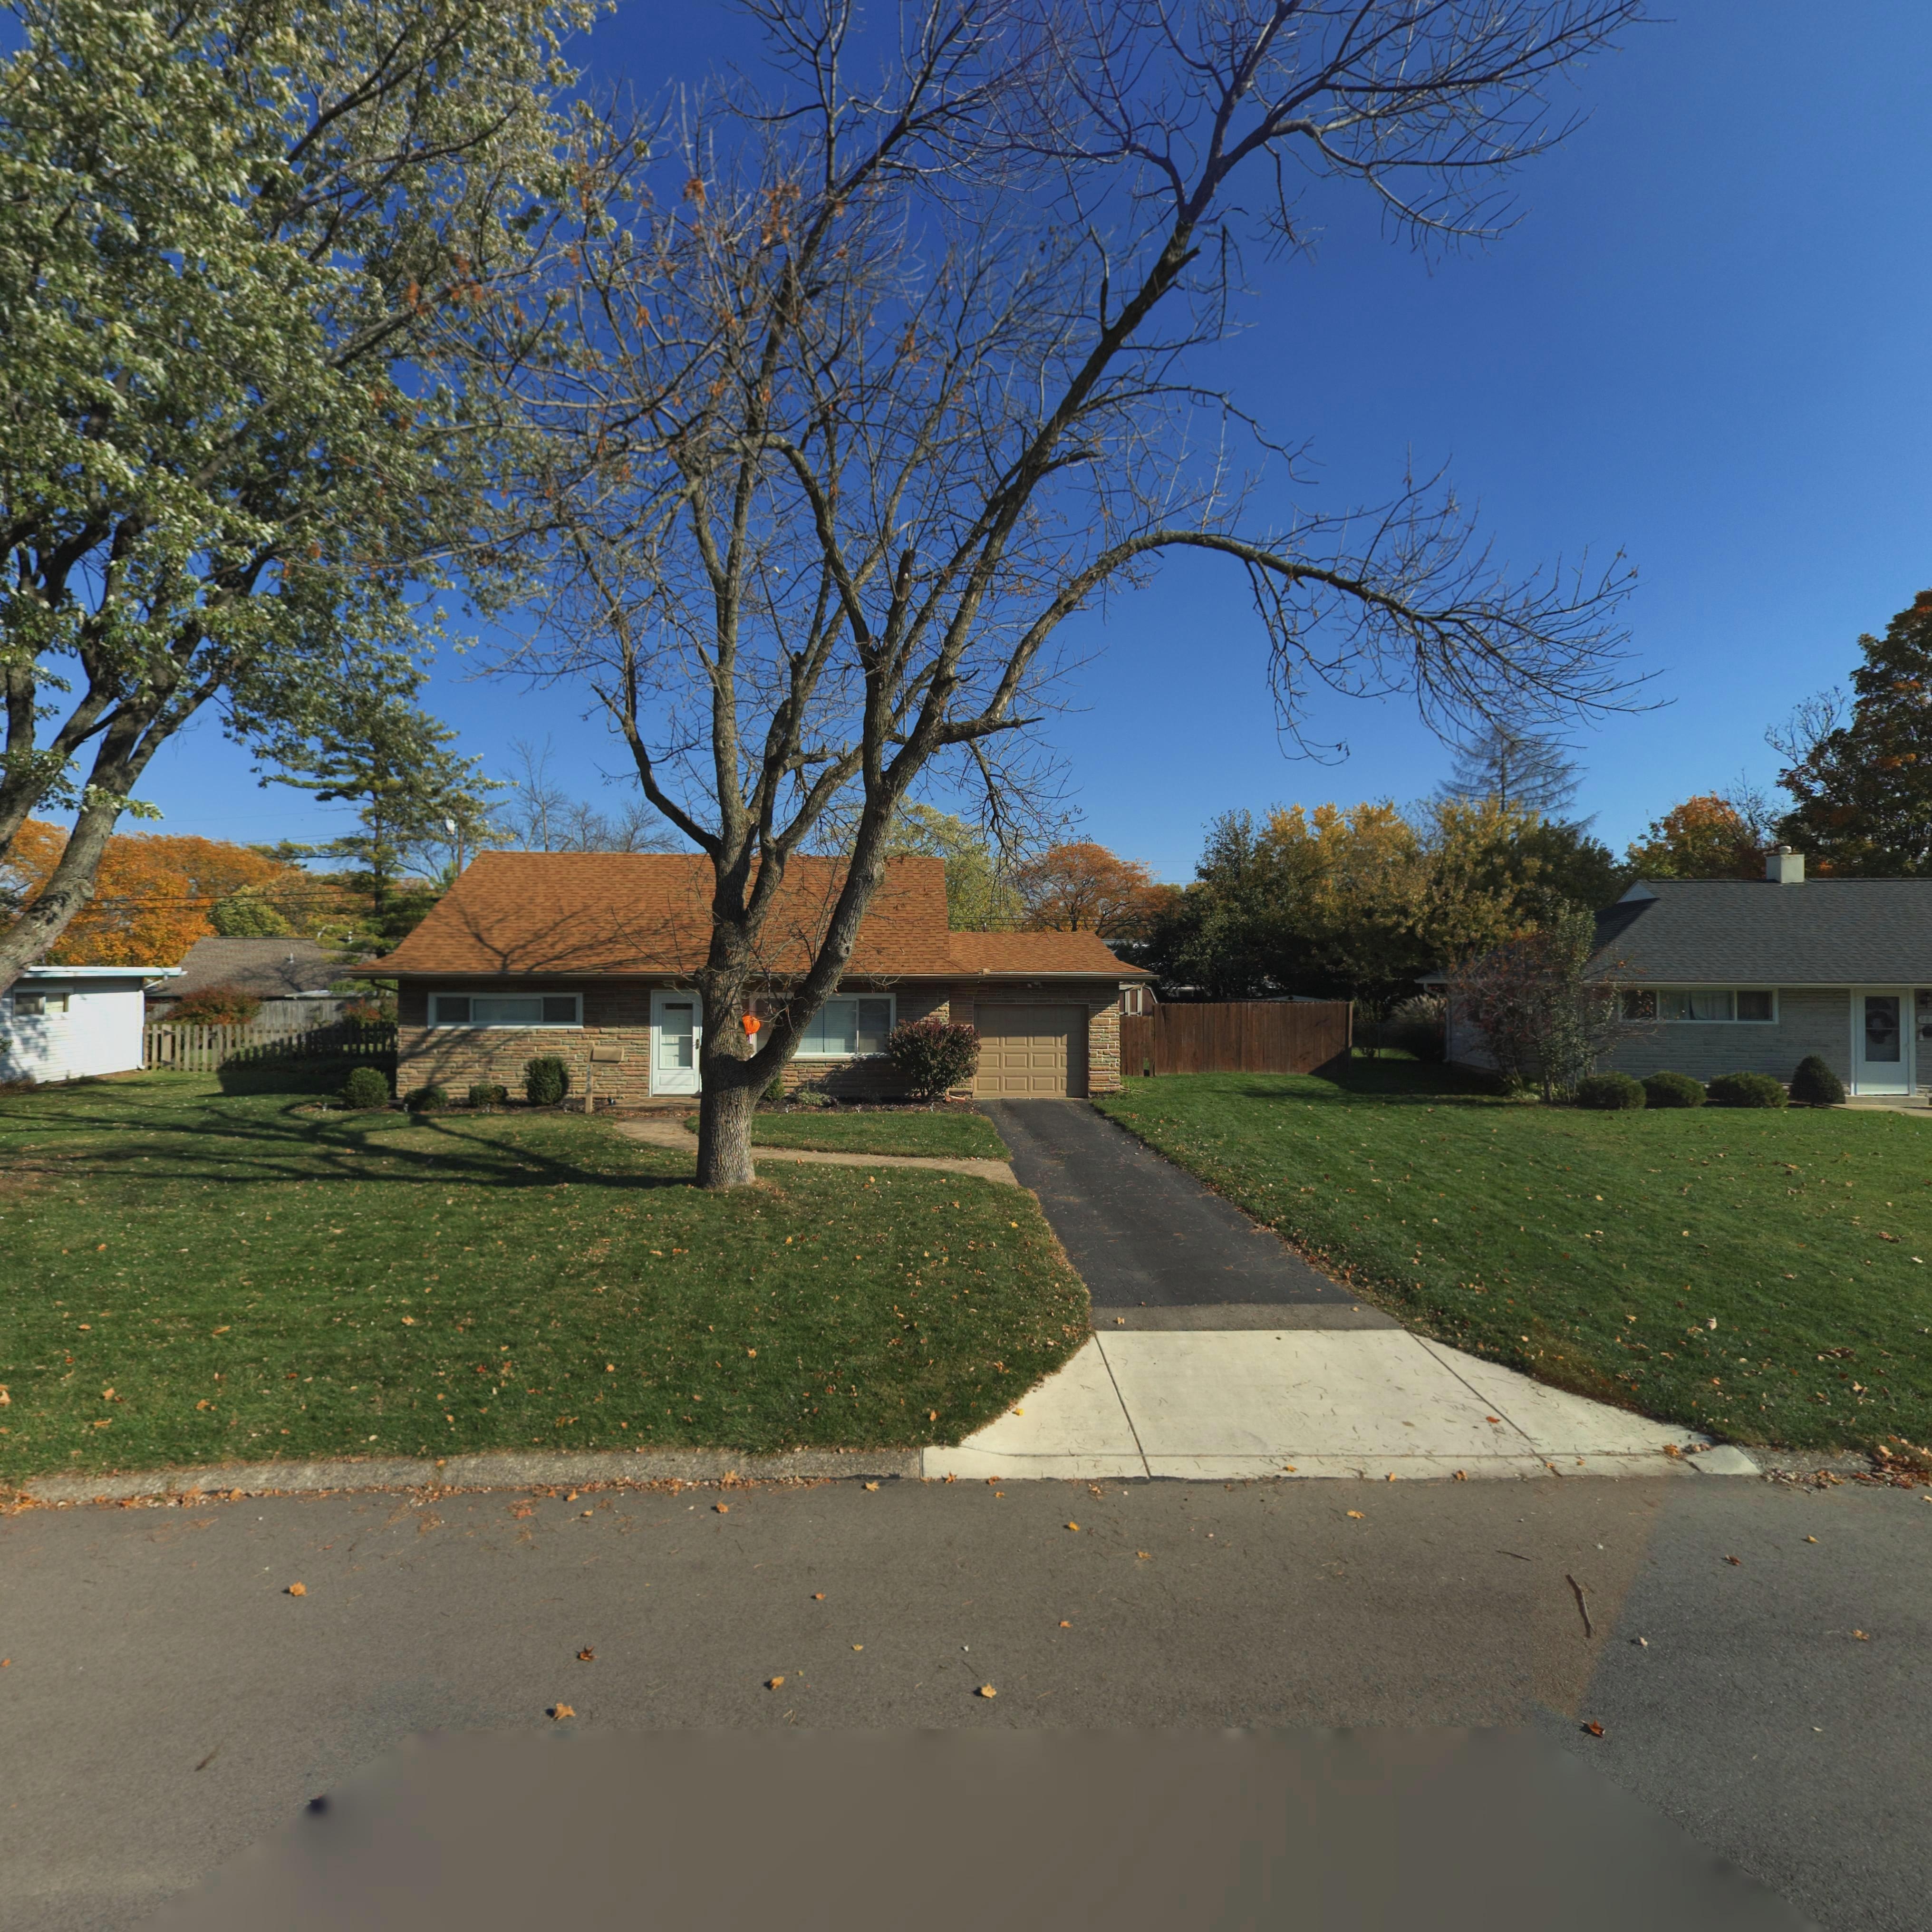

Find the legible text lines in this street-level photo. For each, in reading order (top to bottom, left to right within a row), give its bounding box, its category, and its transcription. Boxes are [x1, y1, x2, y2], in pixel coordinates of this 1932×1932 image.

[586, 1063, 592, 1088] StreetNumber: 3826